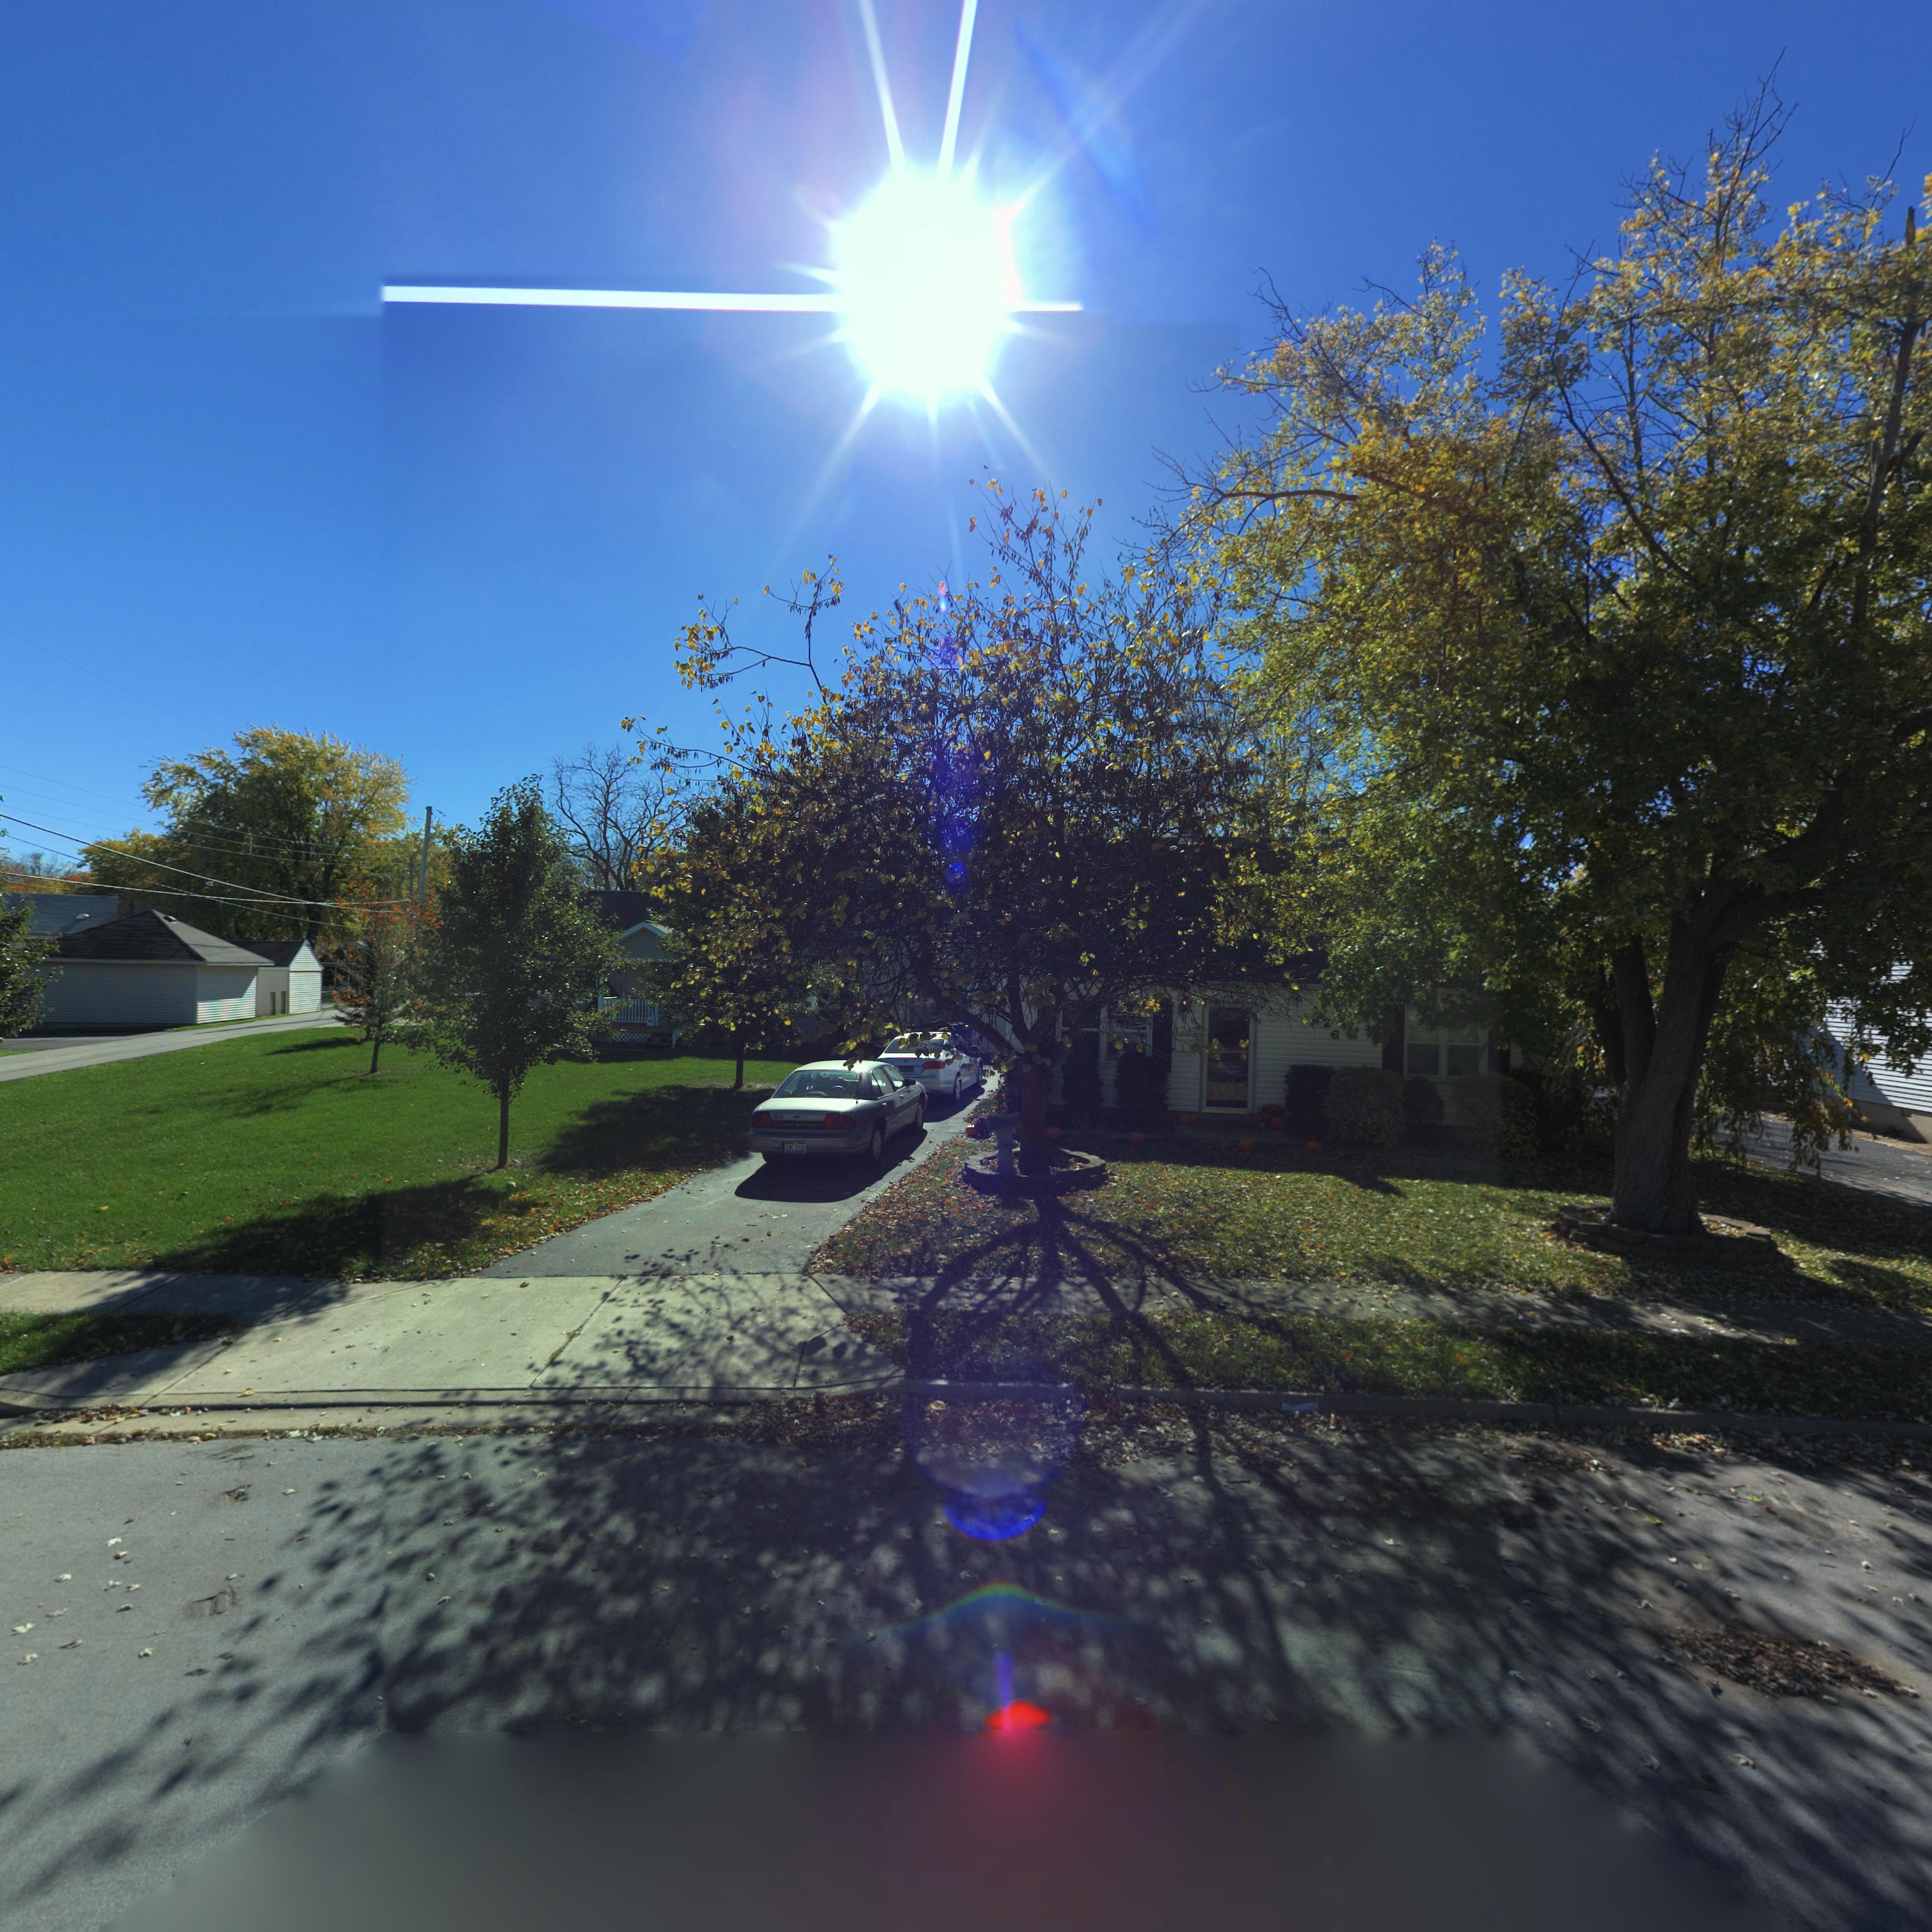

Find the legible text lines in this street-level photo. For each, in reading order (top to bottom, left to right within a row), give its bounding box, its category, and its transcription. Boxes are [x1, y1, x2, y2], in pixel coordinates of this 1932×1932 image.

[1322, 1017, 1341, 1041] StreetNumber: 26